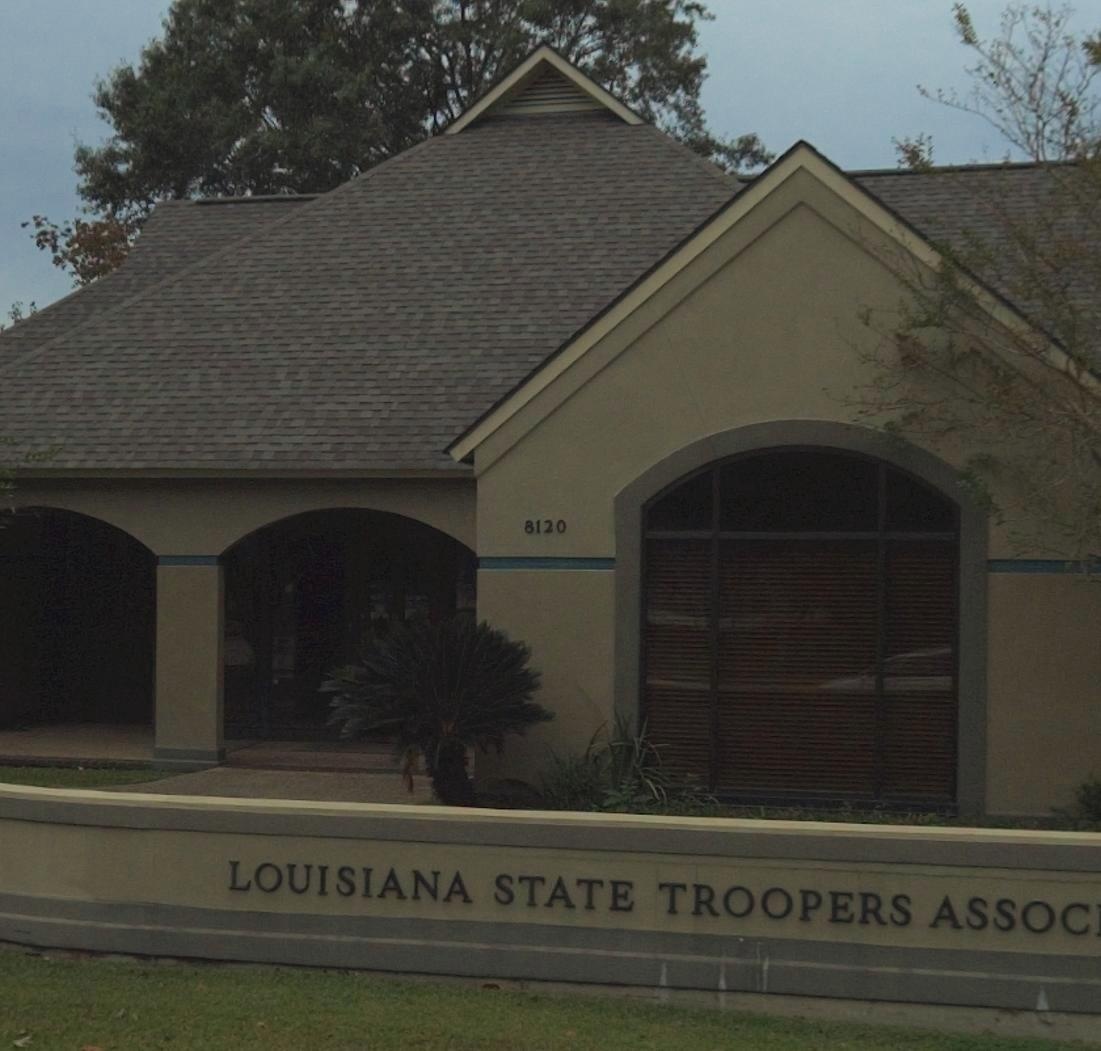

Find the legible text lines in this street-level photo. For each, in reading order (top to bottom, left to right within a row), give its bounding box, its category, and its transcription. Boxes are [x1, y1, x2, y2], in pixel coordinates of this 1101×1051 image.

[523, 518, 567, 534] StreetNumber: 8120
[226, 859, 1093, 936] BusinessName: LOUISIANA STATE TROOPERS ASSOC